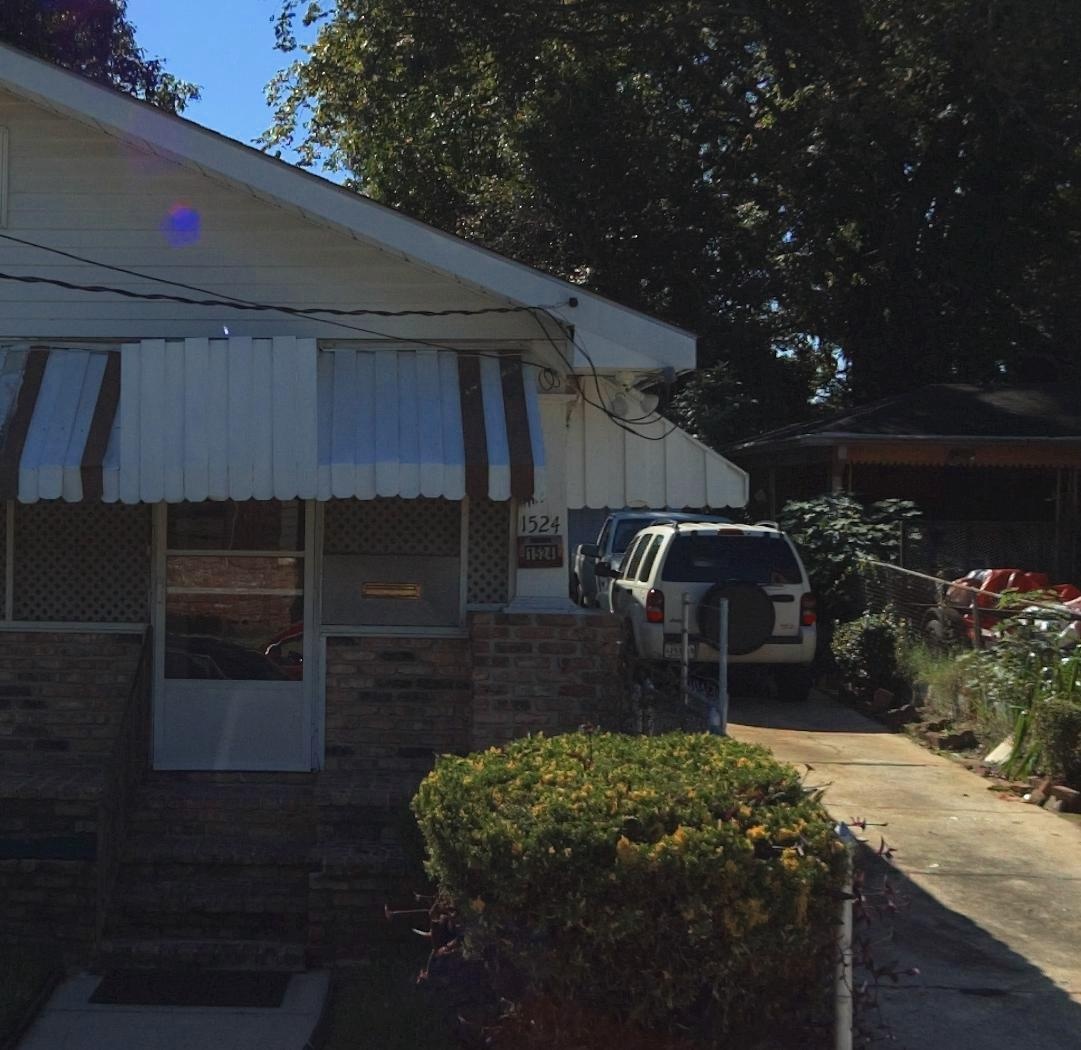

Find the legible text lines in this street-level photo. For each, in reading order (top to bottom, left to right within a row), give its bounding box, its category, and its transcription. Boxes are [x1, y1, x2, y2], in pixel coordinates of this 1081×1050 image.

[520, 513, 562, 536] StreetNumber: 1524
[526, 544, 554, 561] StreetNumber: 1524